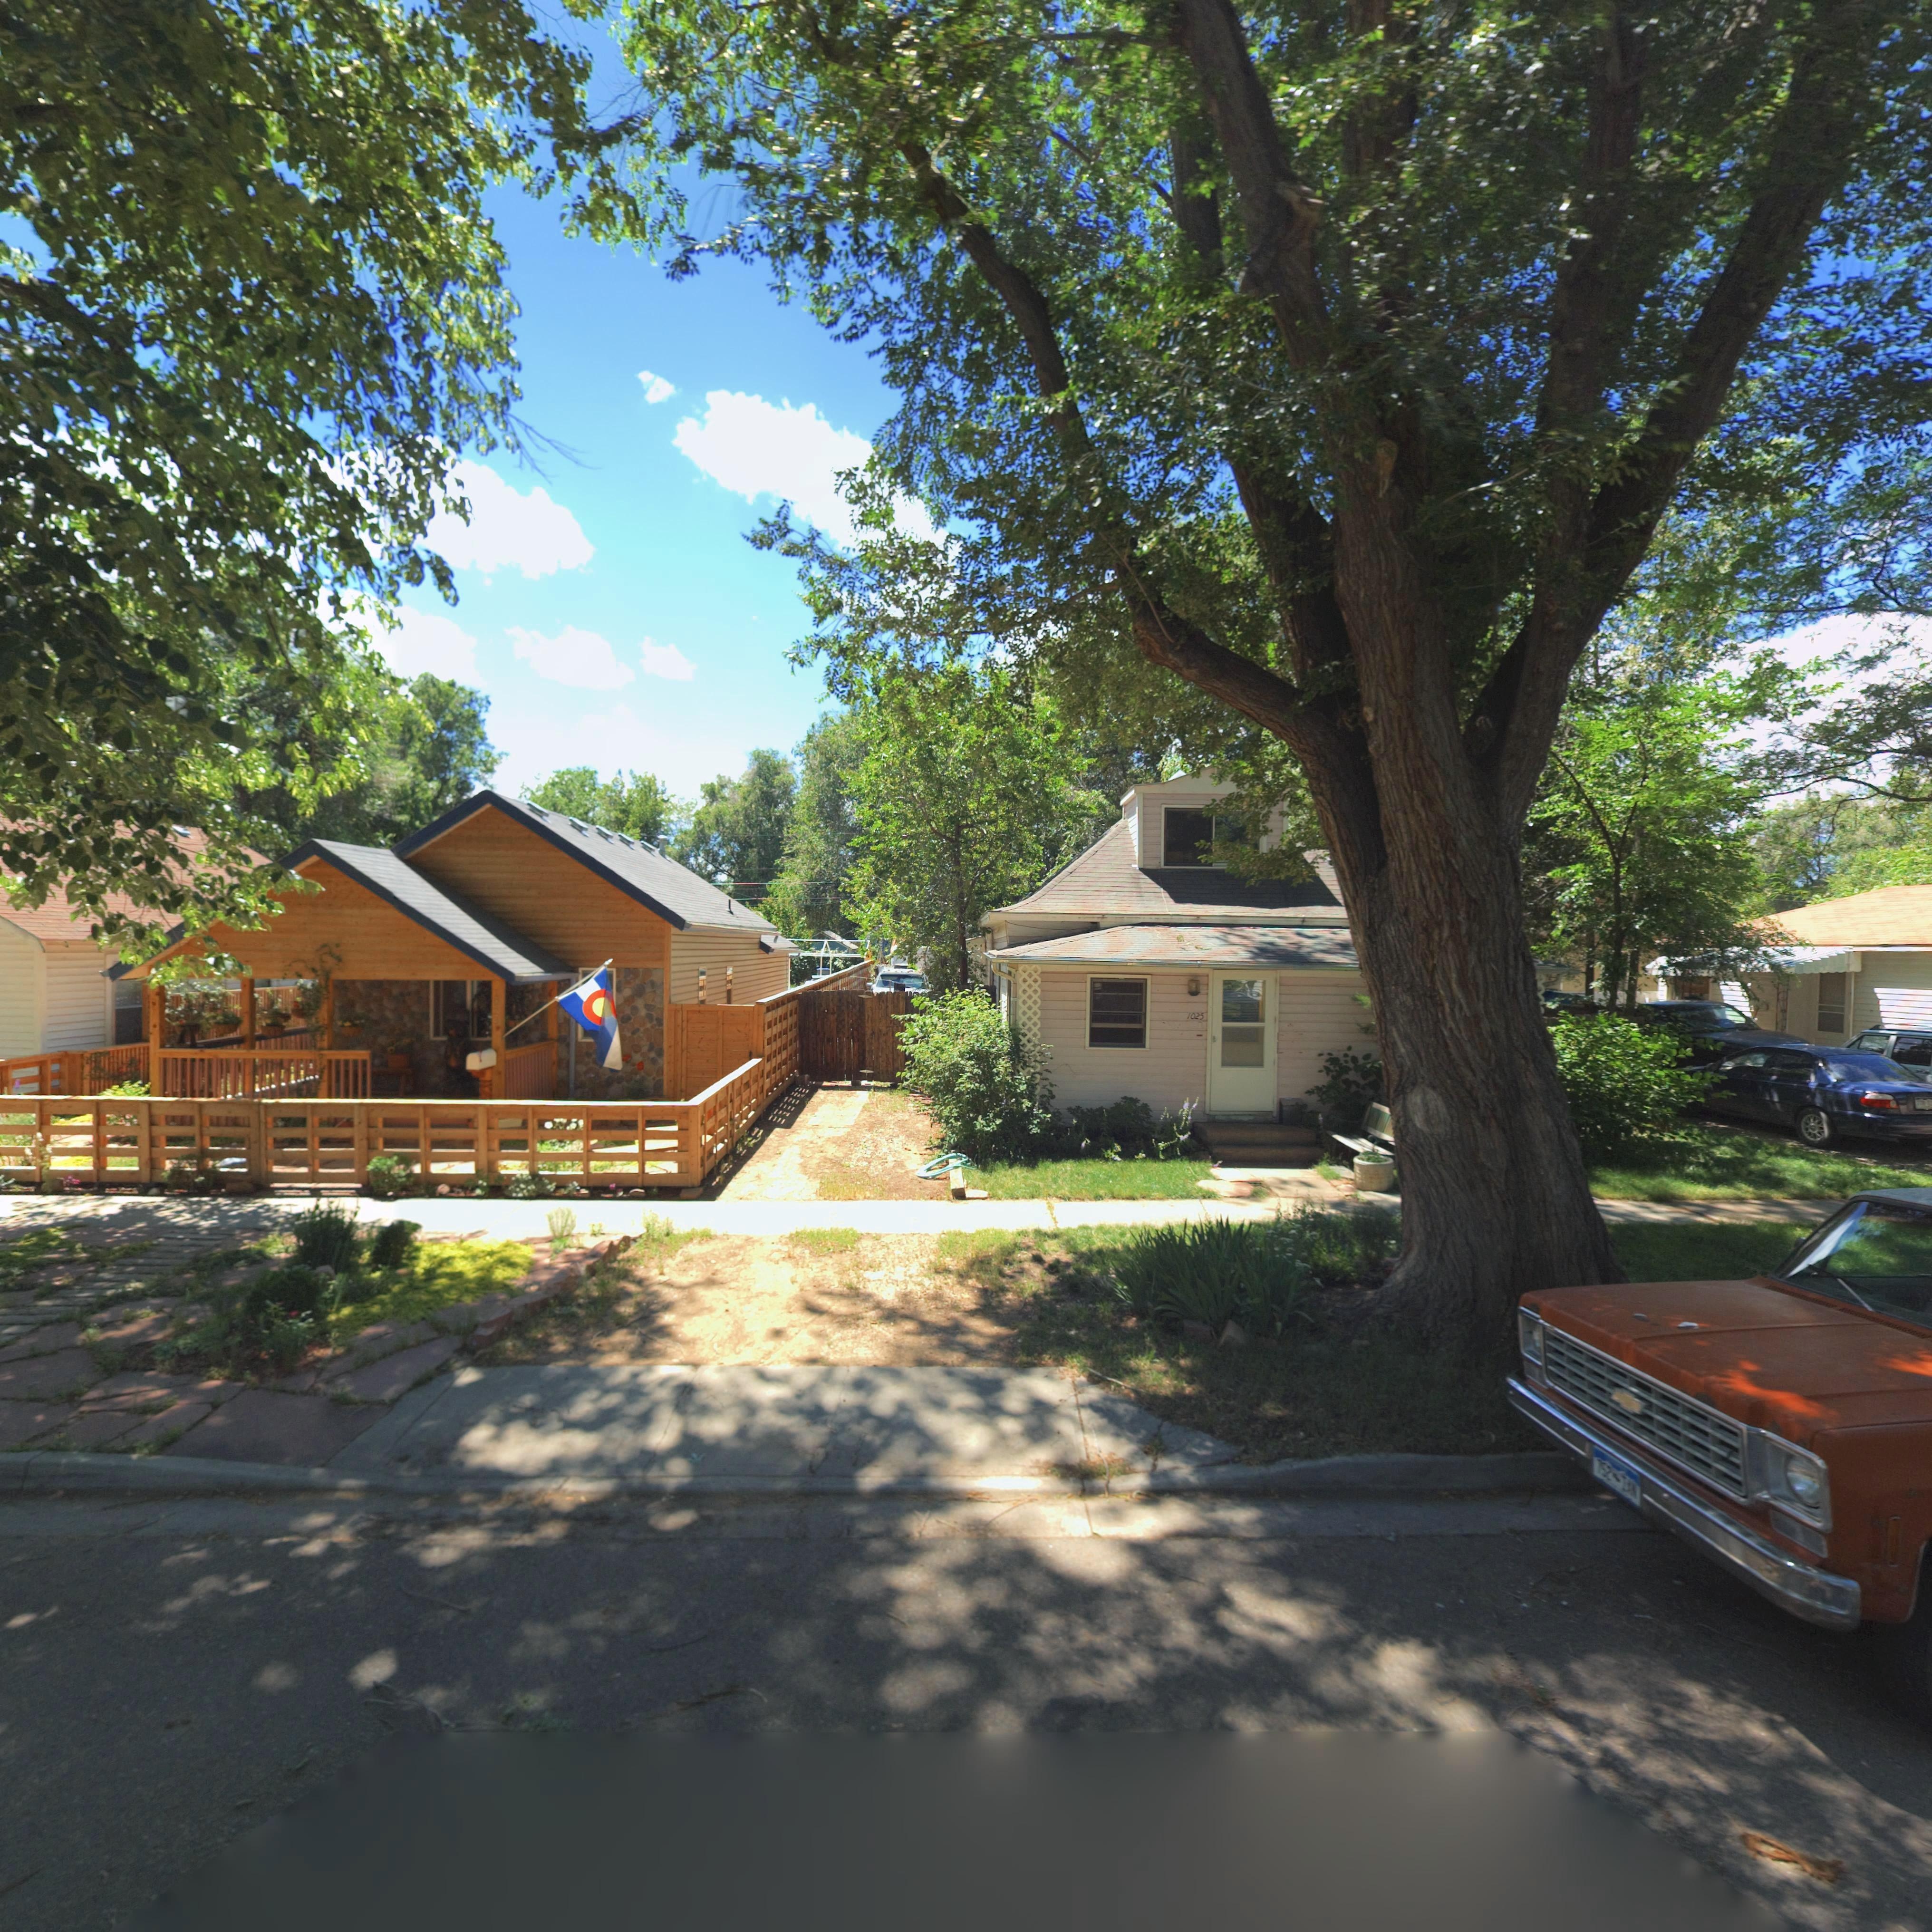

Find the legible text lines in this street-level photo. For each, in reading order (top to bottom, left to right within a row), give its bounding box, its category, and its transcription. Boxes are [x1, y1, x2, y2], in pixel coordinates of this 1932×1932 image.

[492, 988, 500, 1025] StreetNumber: 1023
[1186, 1012, 1204, 1020] StreetNumber: 1025